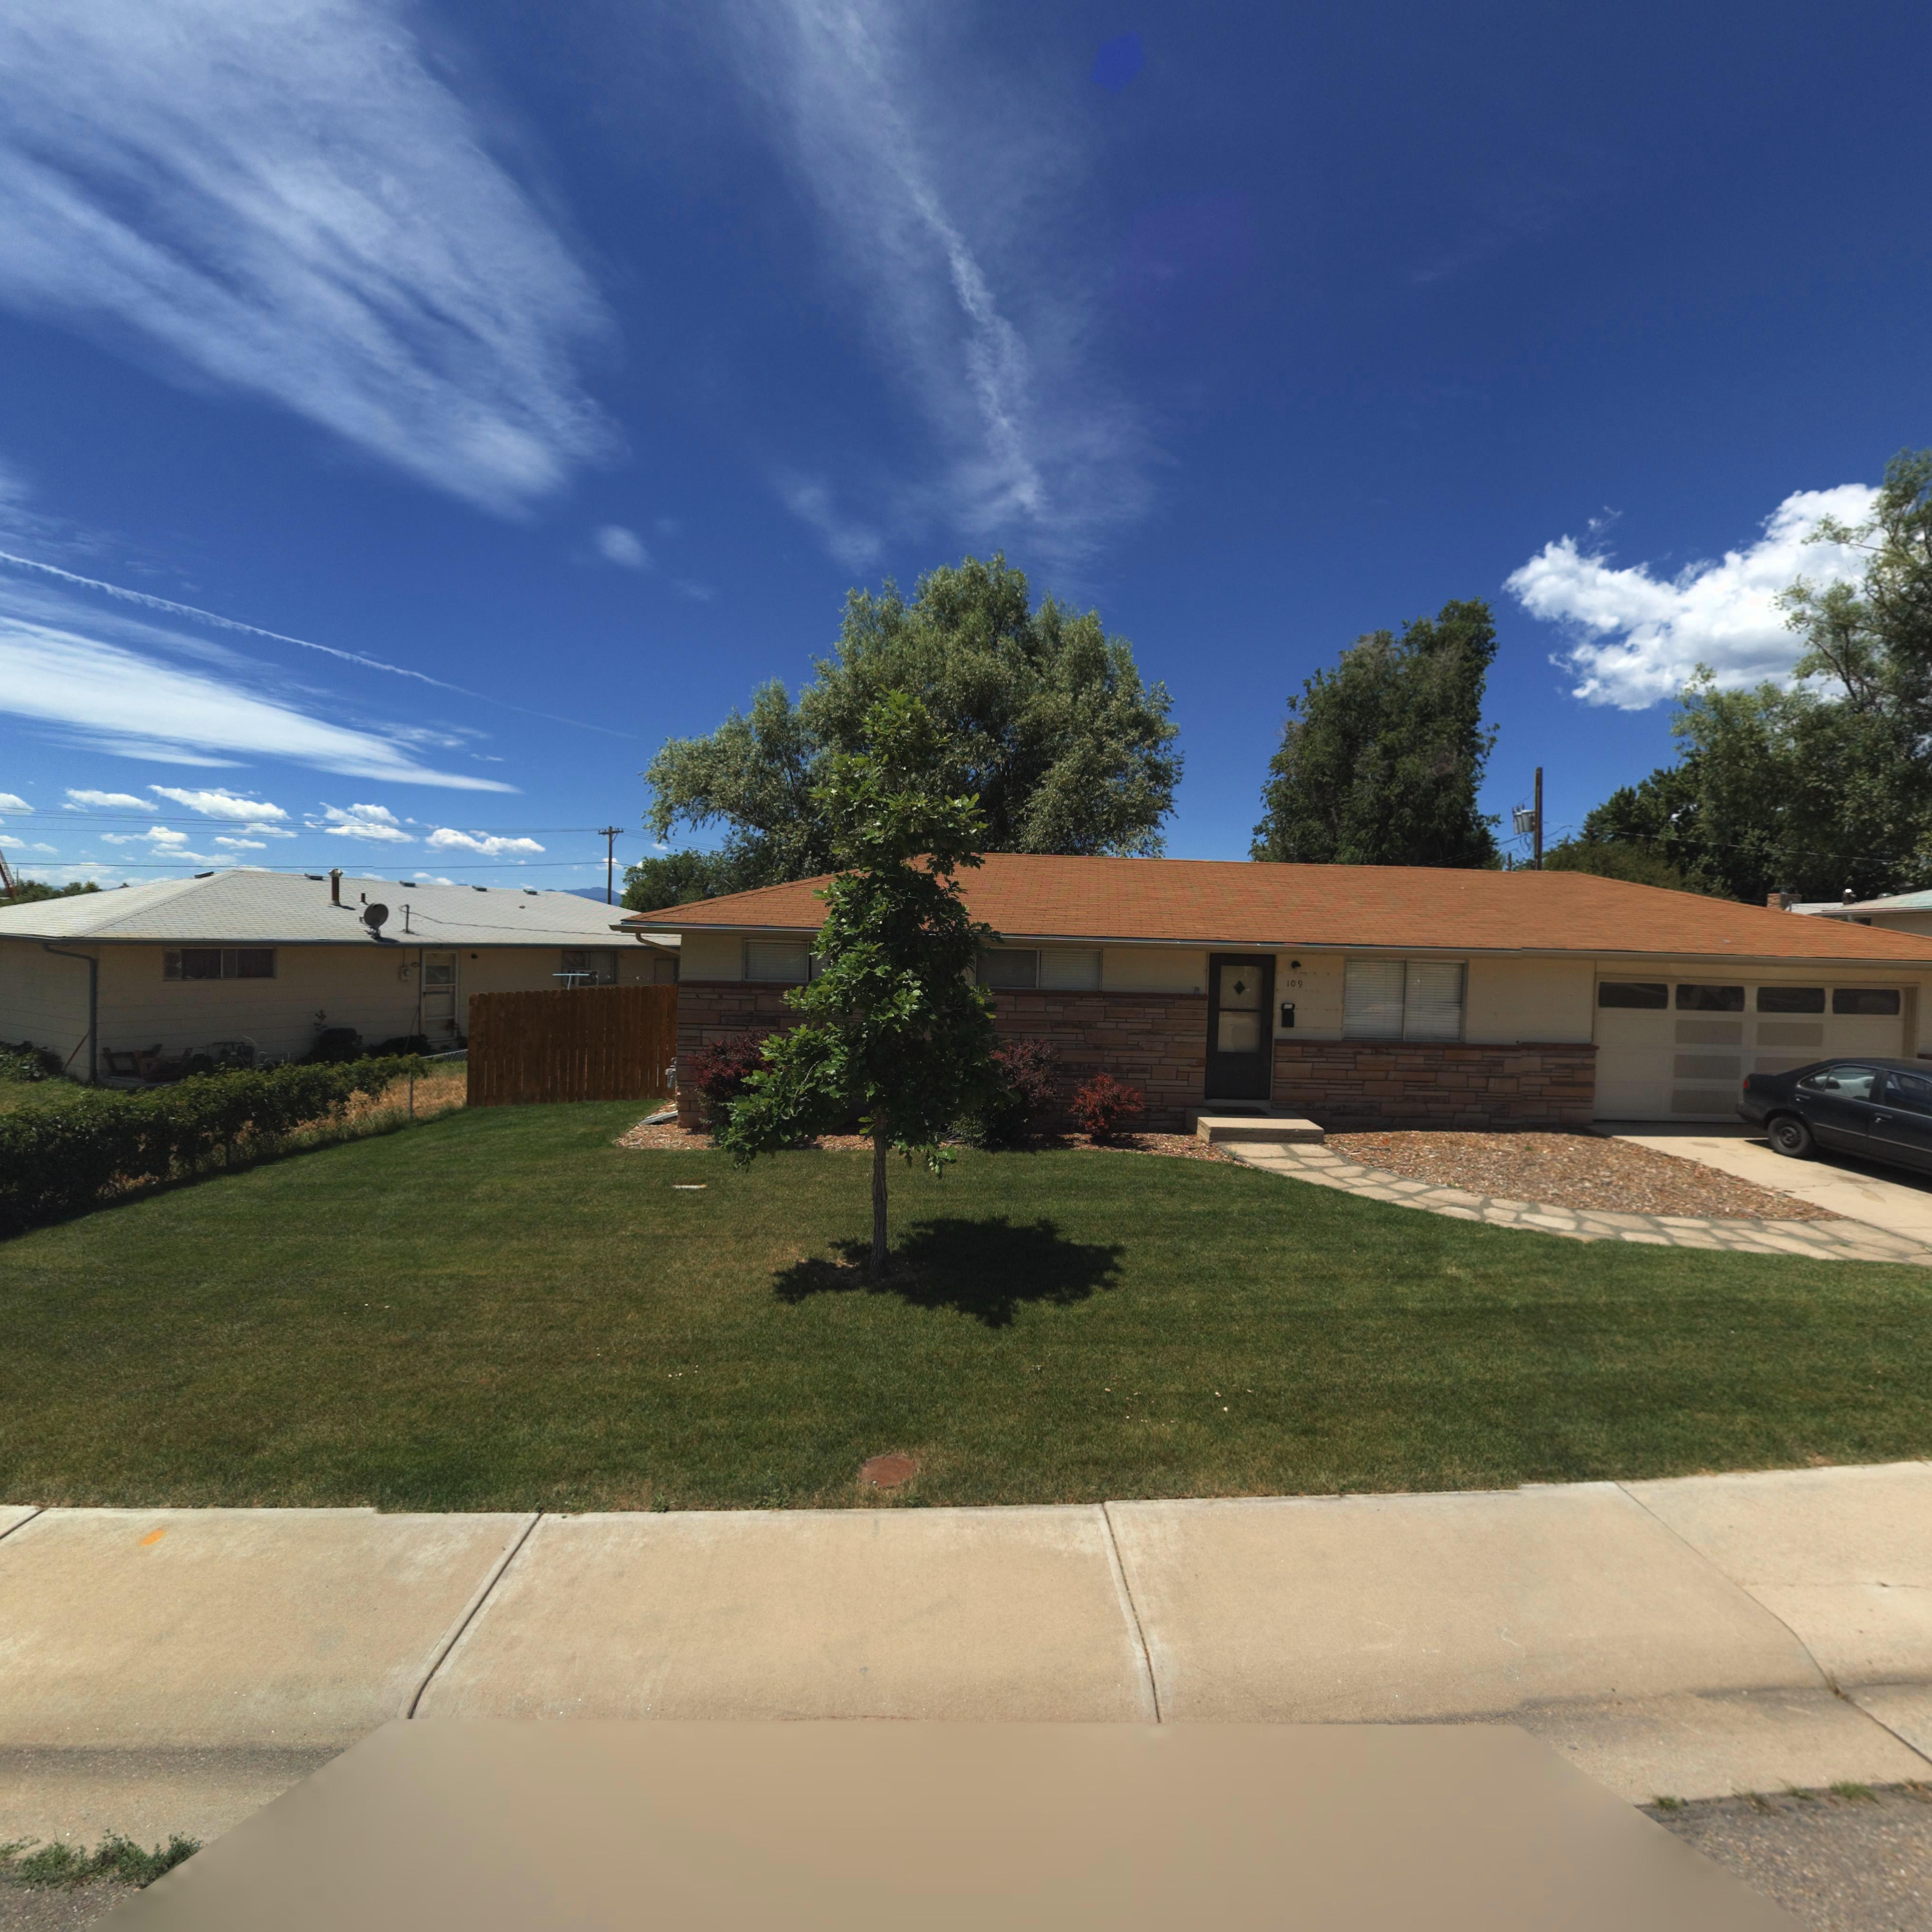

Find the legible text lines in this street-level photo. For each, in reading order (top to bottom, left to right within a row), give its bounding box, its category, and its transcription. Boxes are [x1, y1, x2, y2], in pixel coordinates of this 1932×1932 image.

[1286, 979, 1303, 988] StreetNumber: 109